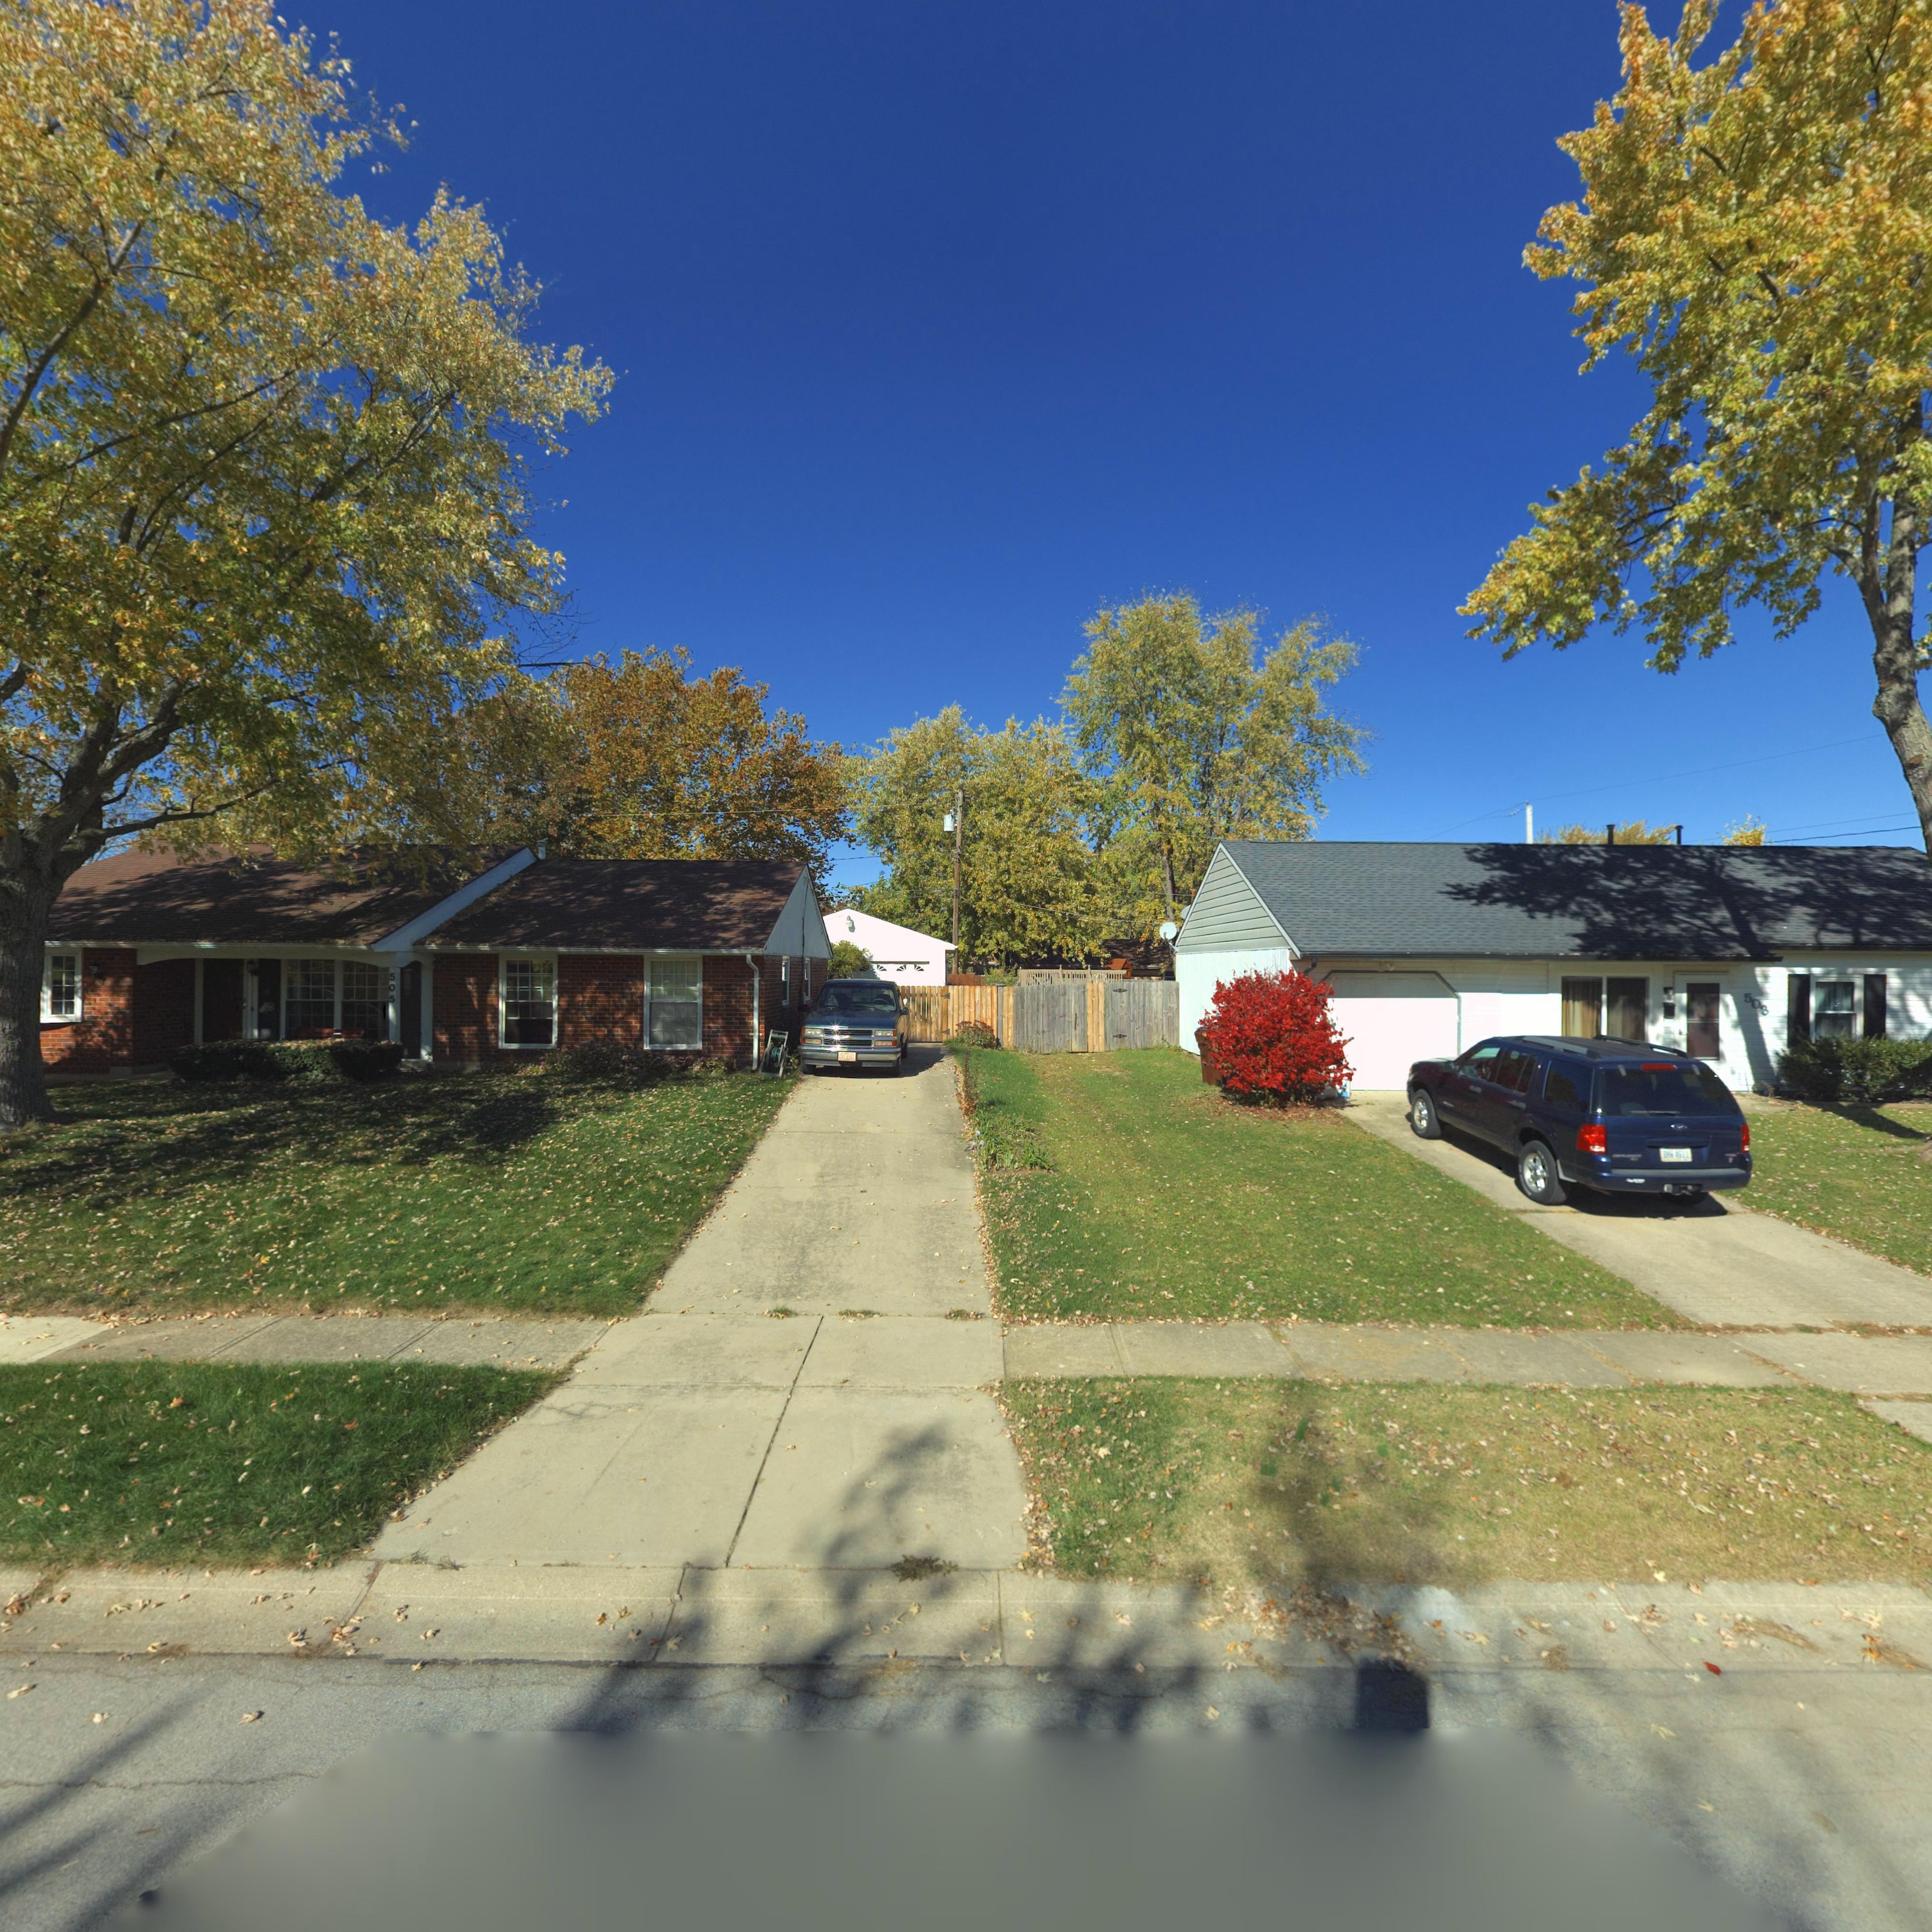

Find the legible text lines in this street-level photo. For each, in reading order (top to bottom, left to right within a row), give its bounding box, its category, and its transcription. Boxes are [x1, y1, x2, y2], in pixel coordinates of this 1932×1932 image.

[388, 972, 396, 1003] StreetNumber: 505
[1744, 992, 1770, 1016] StreetNumber: 508